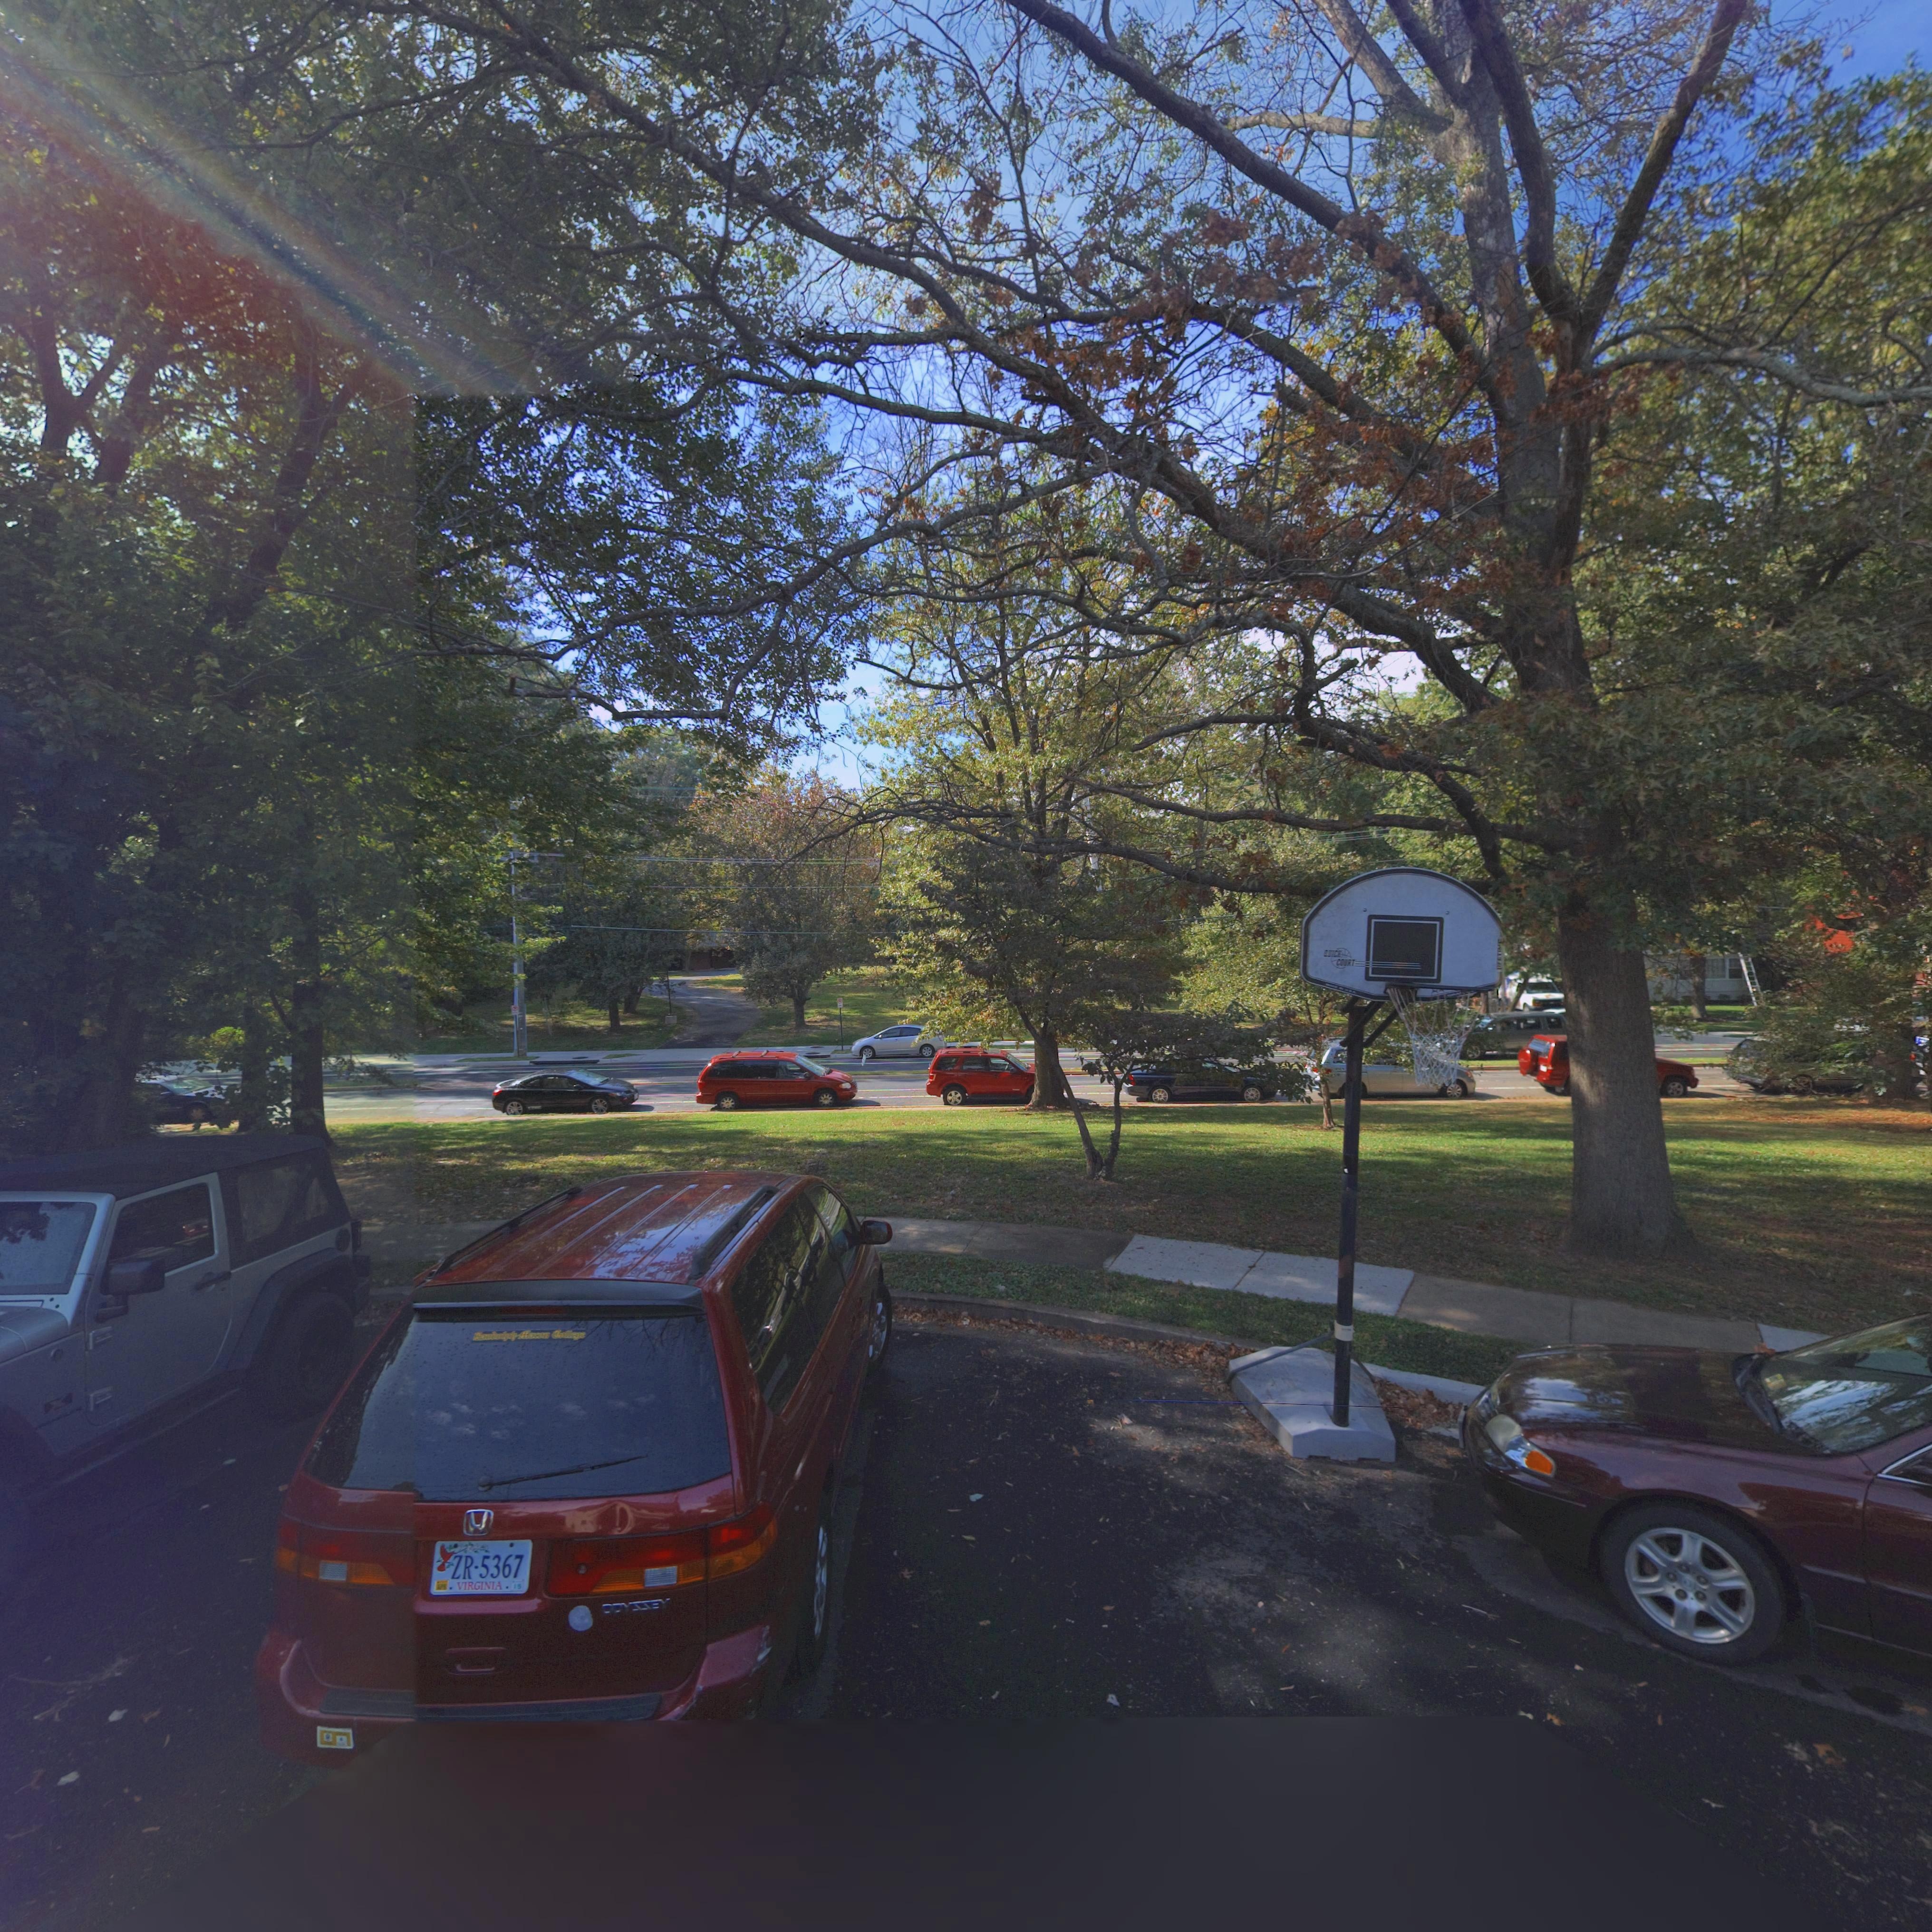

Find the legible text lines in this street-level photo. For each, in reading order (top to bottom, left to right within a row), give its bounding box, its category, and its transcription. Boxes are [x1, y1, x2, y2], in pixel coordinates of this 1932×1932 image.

[1322, 948, 1344, 959] None: QUICK
[1334, 957, 1358, 967] None: COURT
[467, 1510, 490, 1536] None: H
[448, 1553, 527, 1581] None: ZR*5367
[454, 1579, 503, 1591] None: VIRGINIA
[600, 1596, 672, 1615] None: ODYSSEY